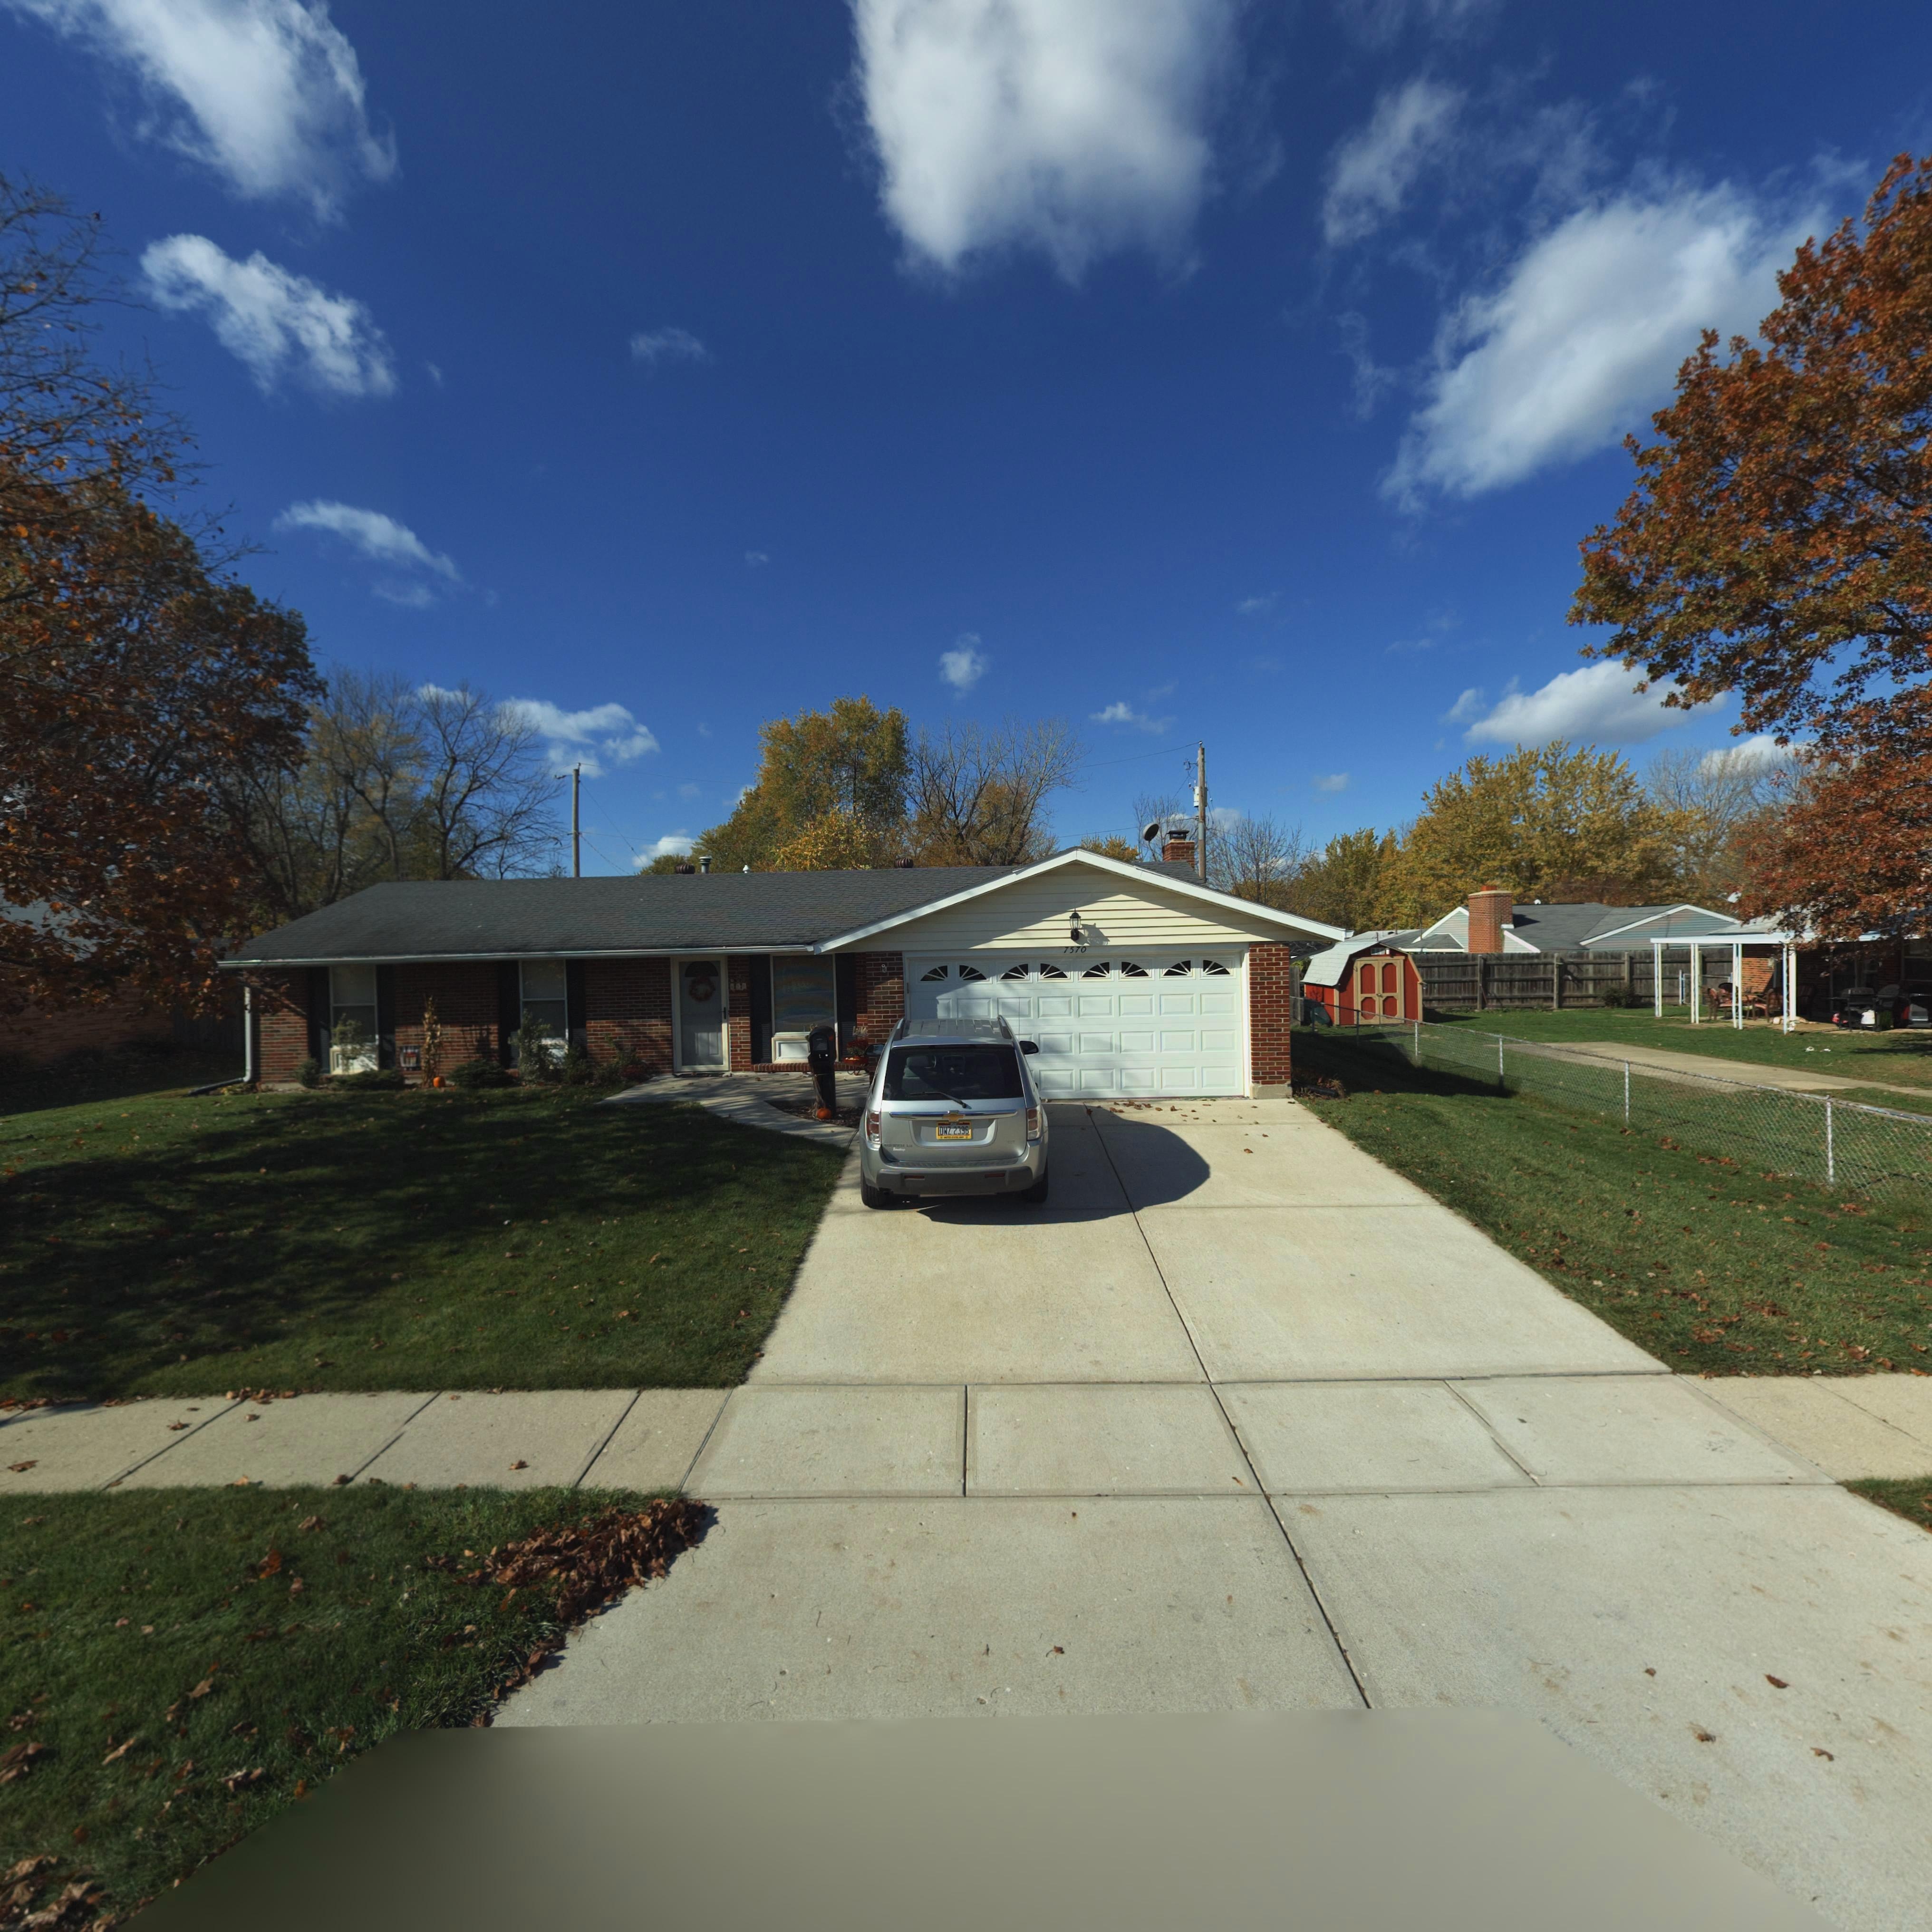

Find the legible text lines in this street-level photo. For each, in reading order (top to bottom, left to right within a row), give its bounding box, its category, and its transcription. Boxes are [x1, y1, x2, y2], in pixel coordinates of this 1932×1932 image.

[1062, 946, 1088, 955] StreetNumber: 7570